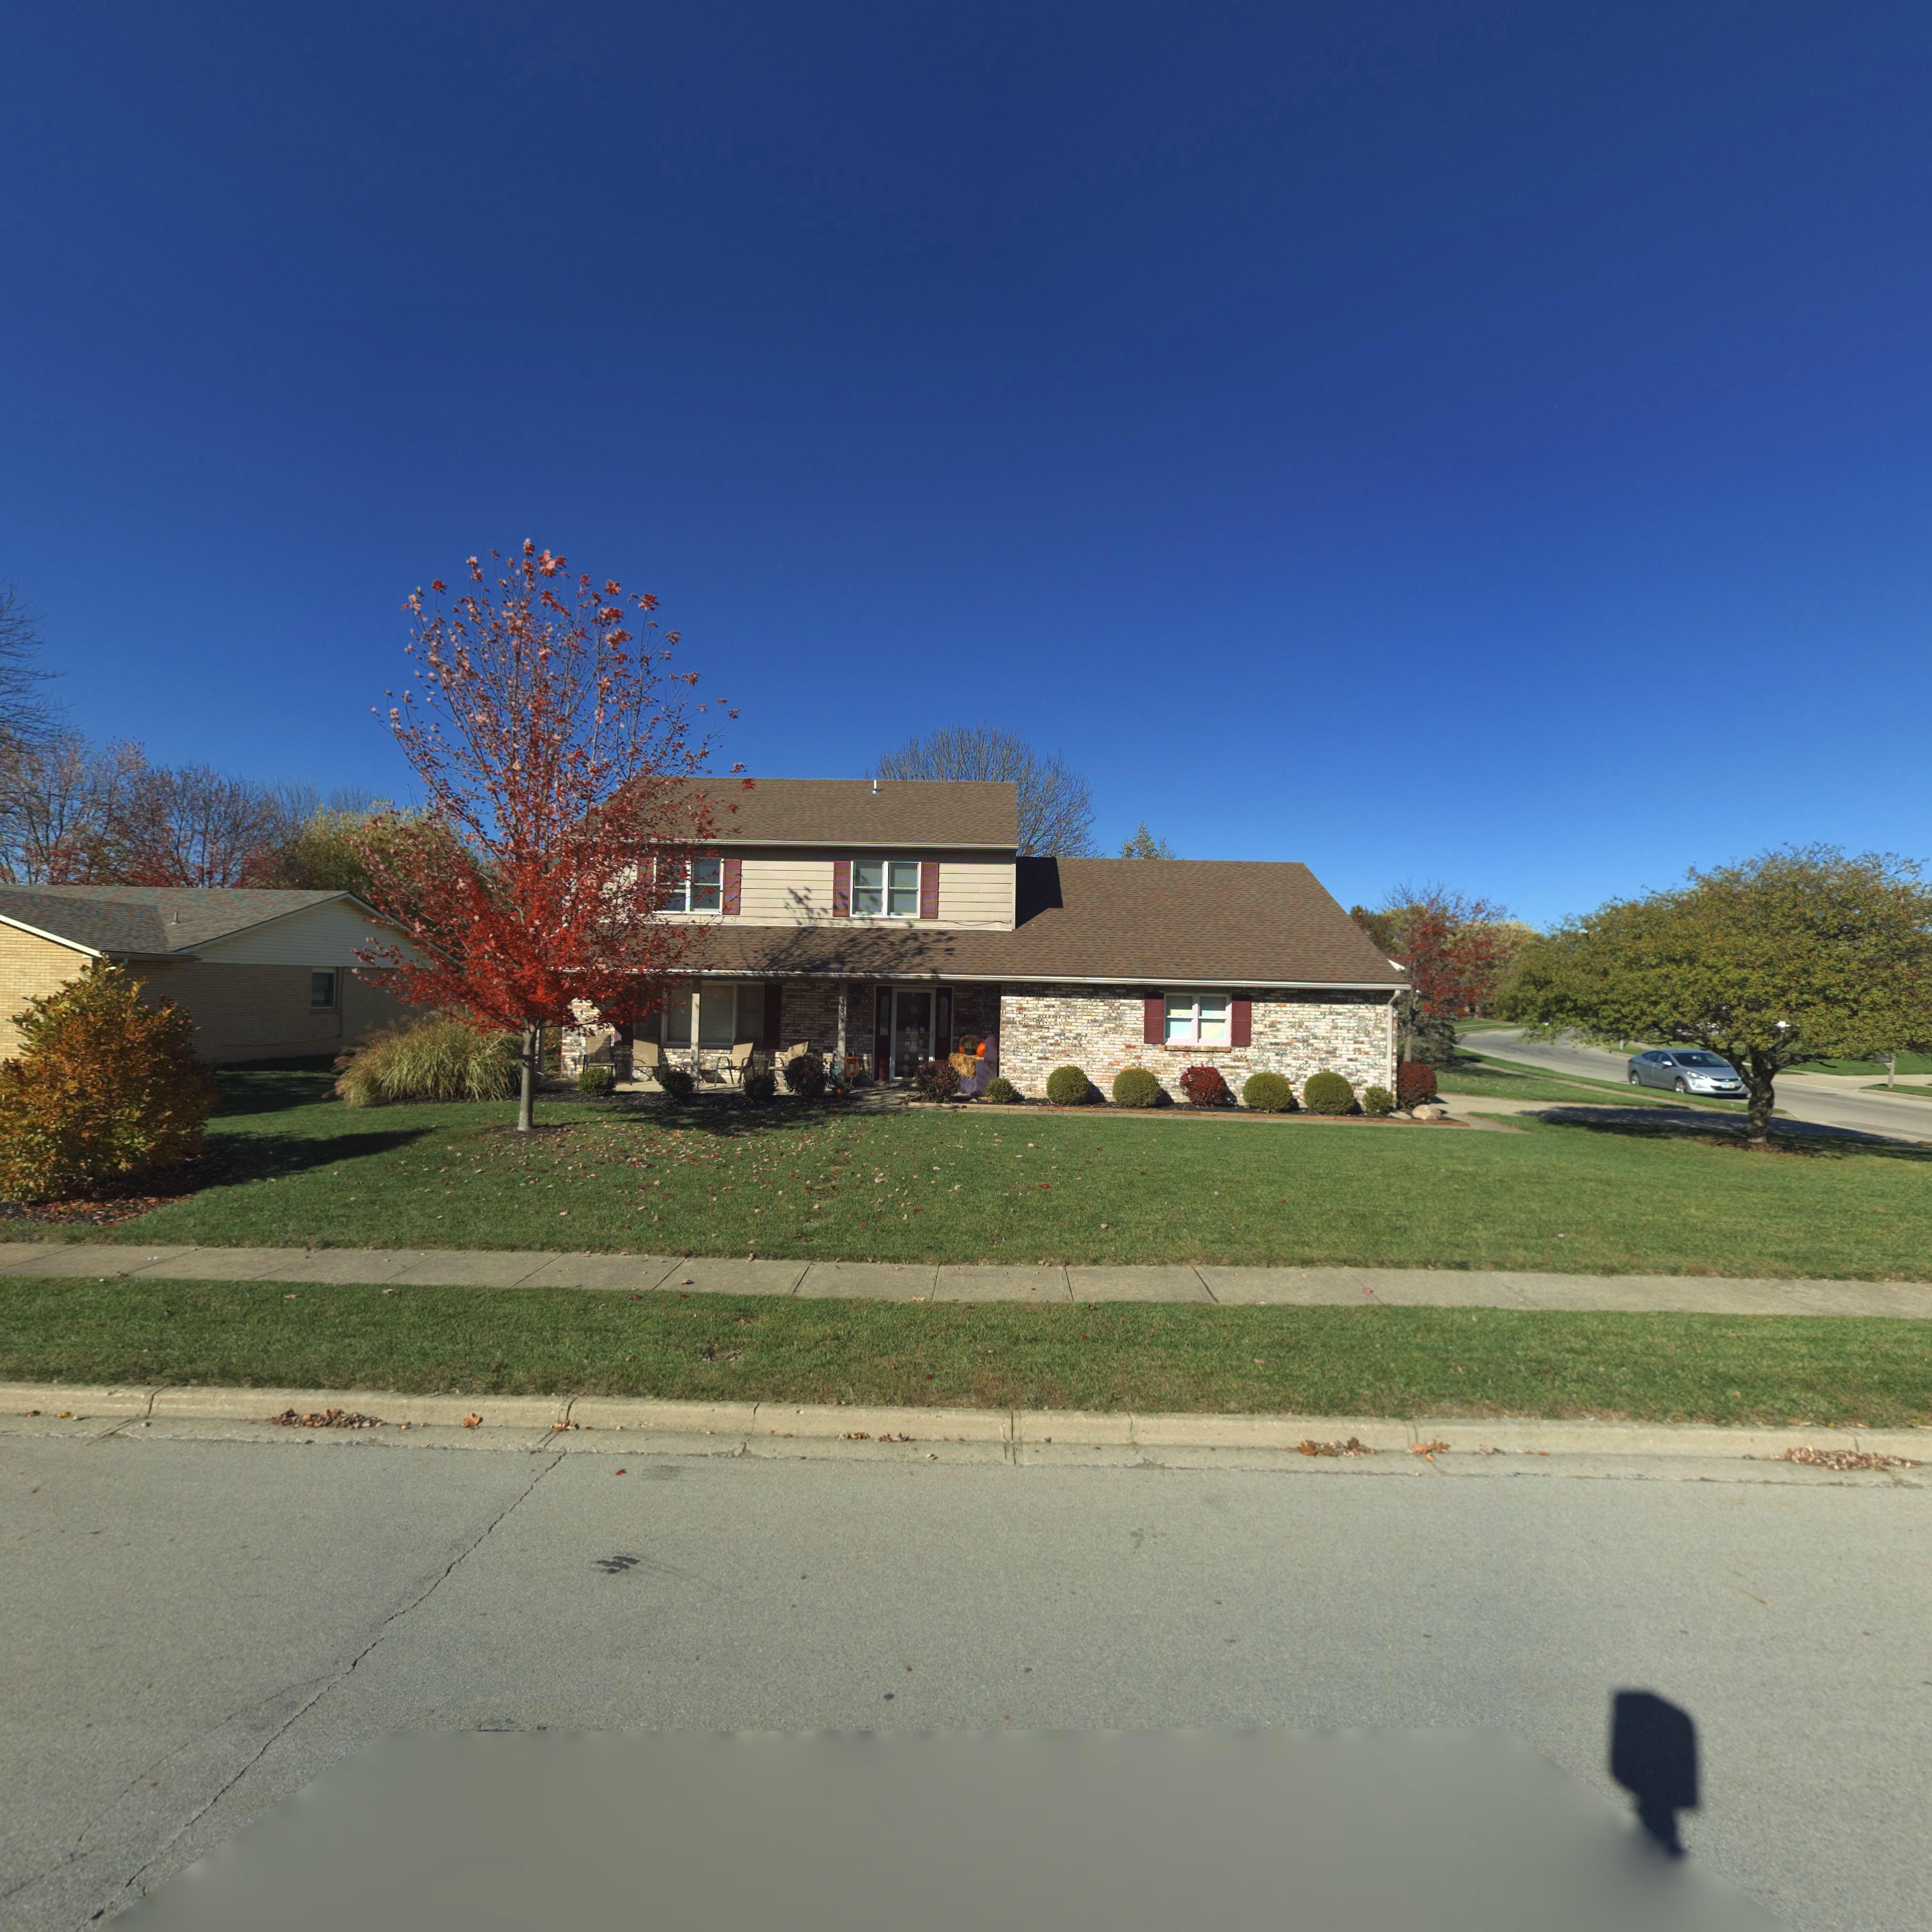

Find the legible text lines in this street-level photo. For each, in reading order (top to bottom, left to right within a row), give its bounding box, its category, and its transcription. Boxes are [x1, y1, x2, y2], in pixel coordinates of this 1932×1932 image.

[840, 995, 845, 1024] StreetNumber: 4035